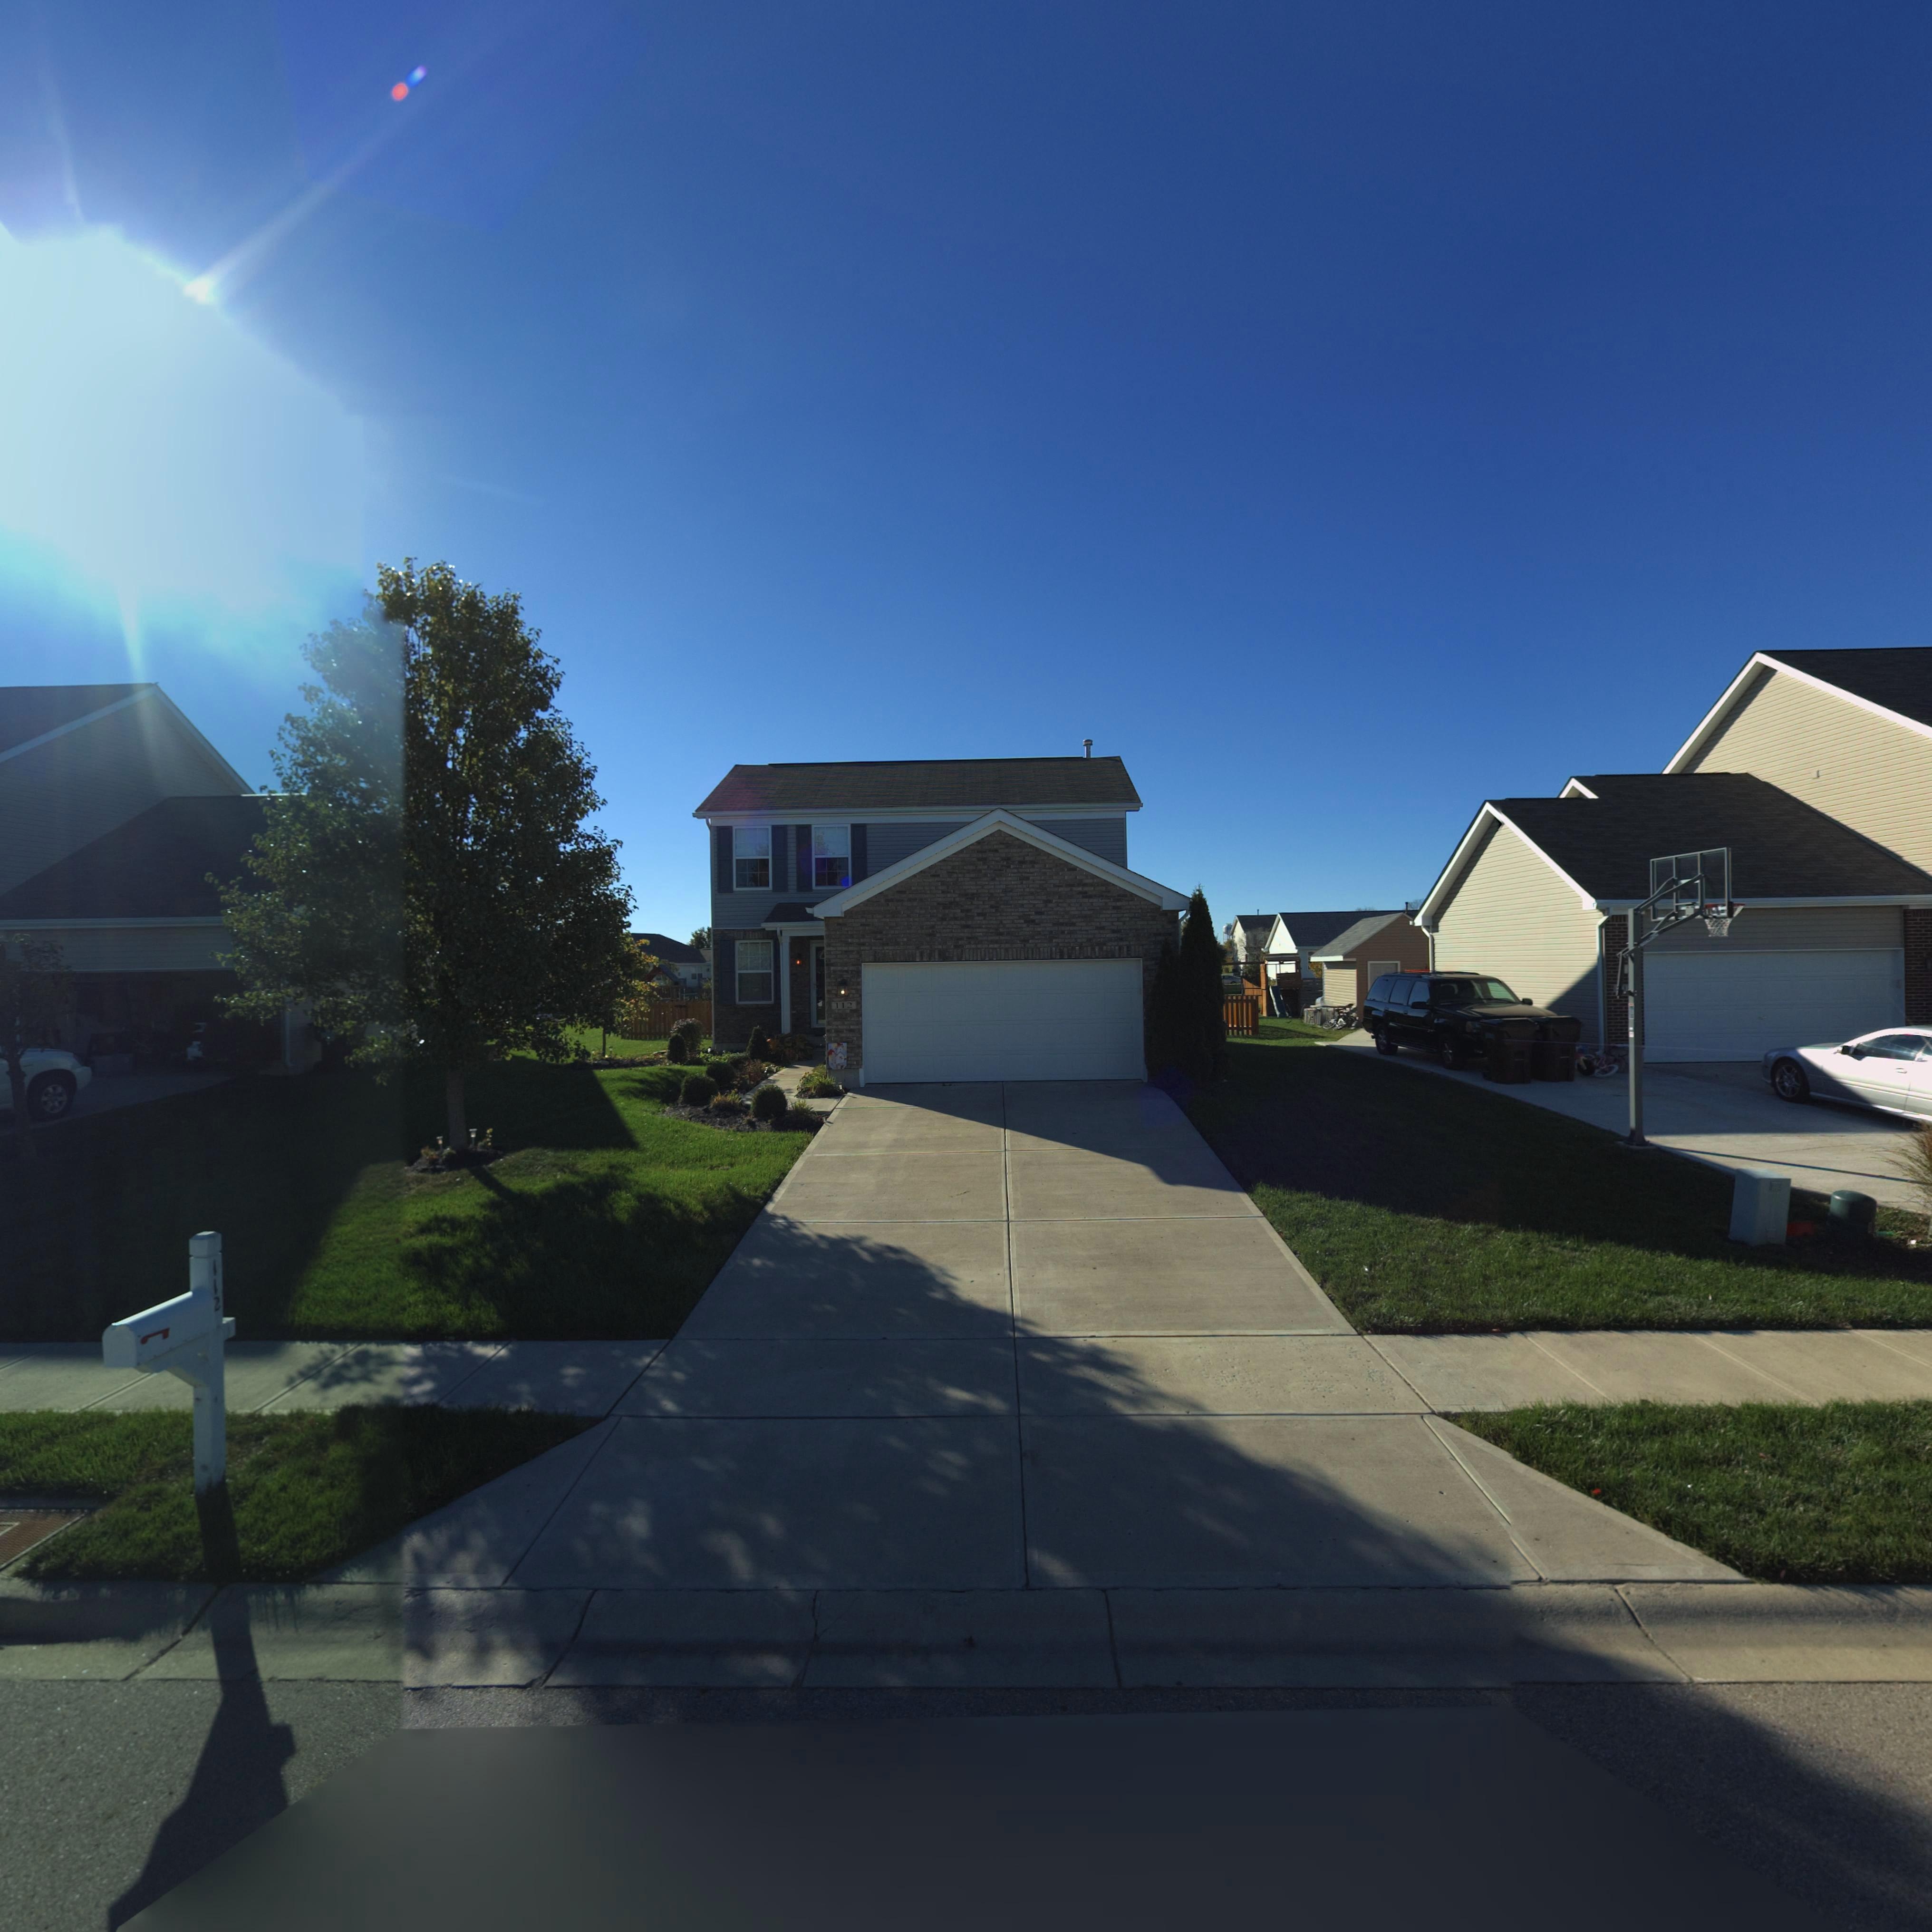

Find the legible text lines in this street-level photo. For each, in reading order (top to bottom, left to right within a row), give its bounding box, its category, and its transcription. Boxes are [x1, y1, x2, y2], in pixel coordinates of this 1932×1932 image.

[835, 1001, 853, 1009] StreetNumber: 112
[211, 1256, 222, 1314] StreetNumber: 112